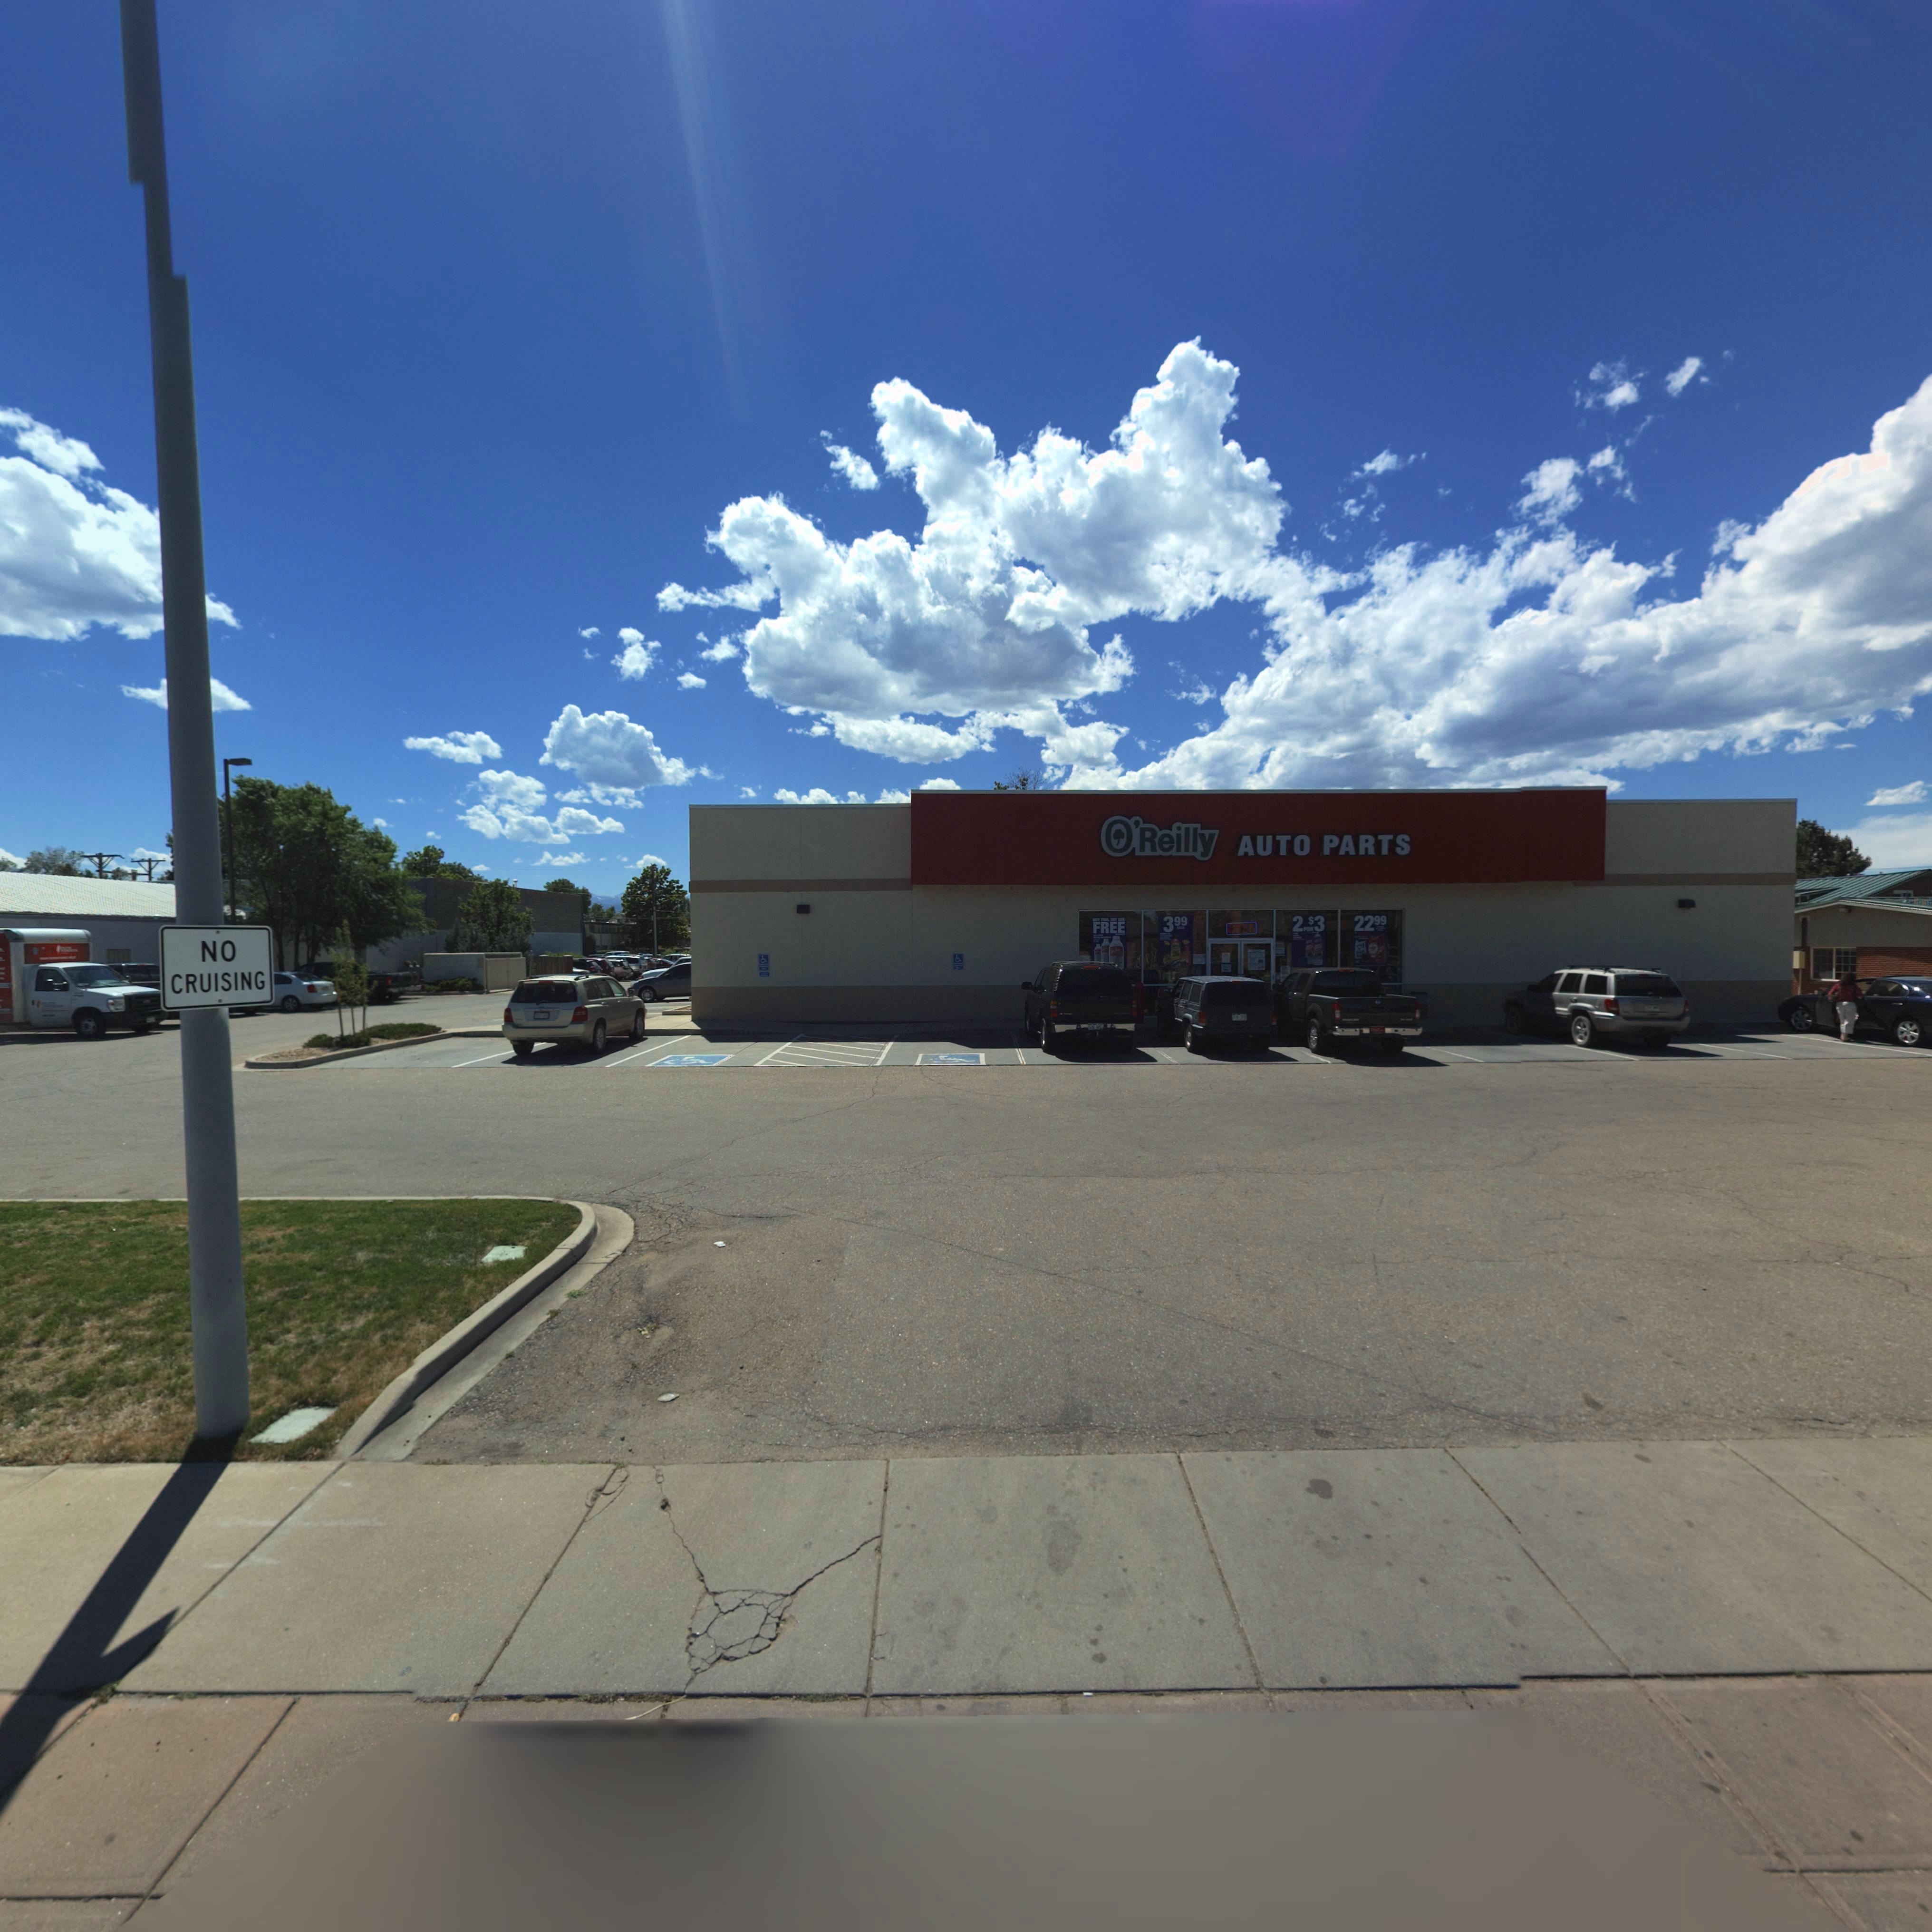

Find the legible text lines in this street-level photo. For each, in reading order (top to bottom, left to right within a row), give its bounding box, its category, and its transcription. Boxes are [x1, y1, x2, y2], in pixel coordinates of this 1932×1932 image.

[1105, 819, 1215, 858] BusinessName: O'Reilly
[1237, 834, 1409, 856] BusinessName: AUTO PARTS